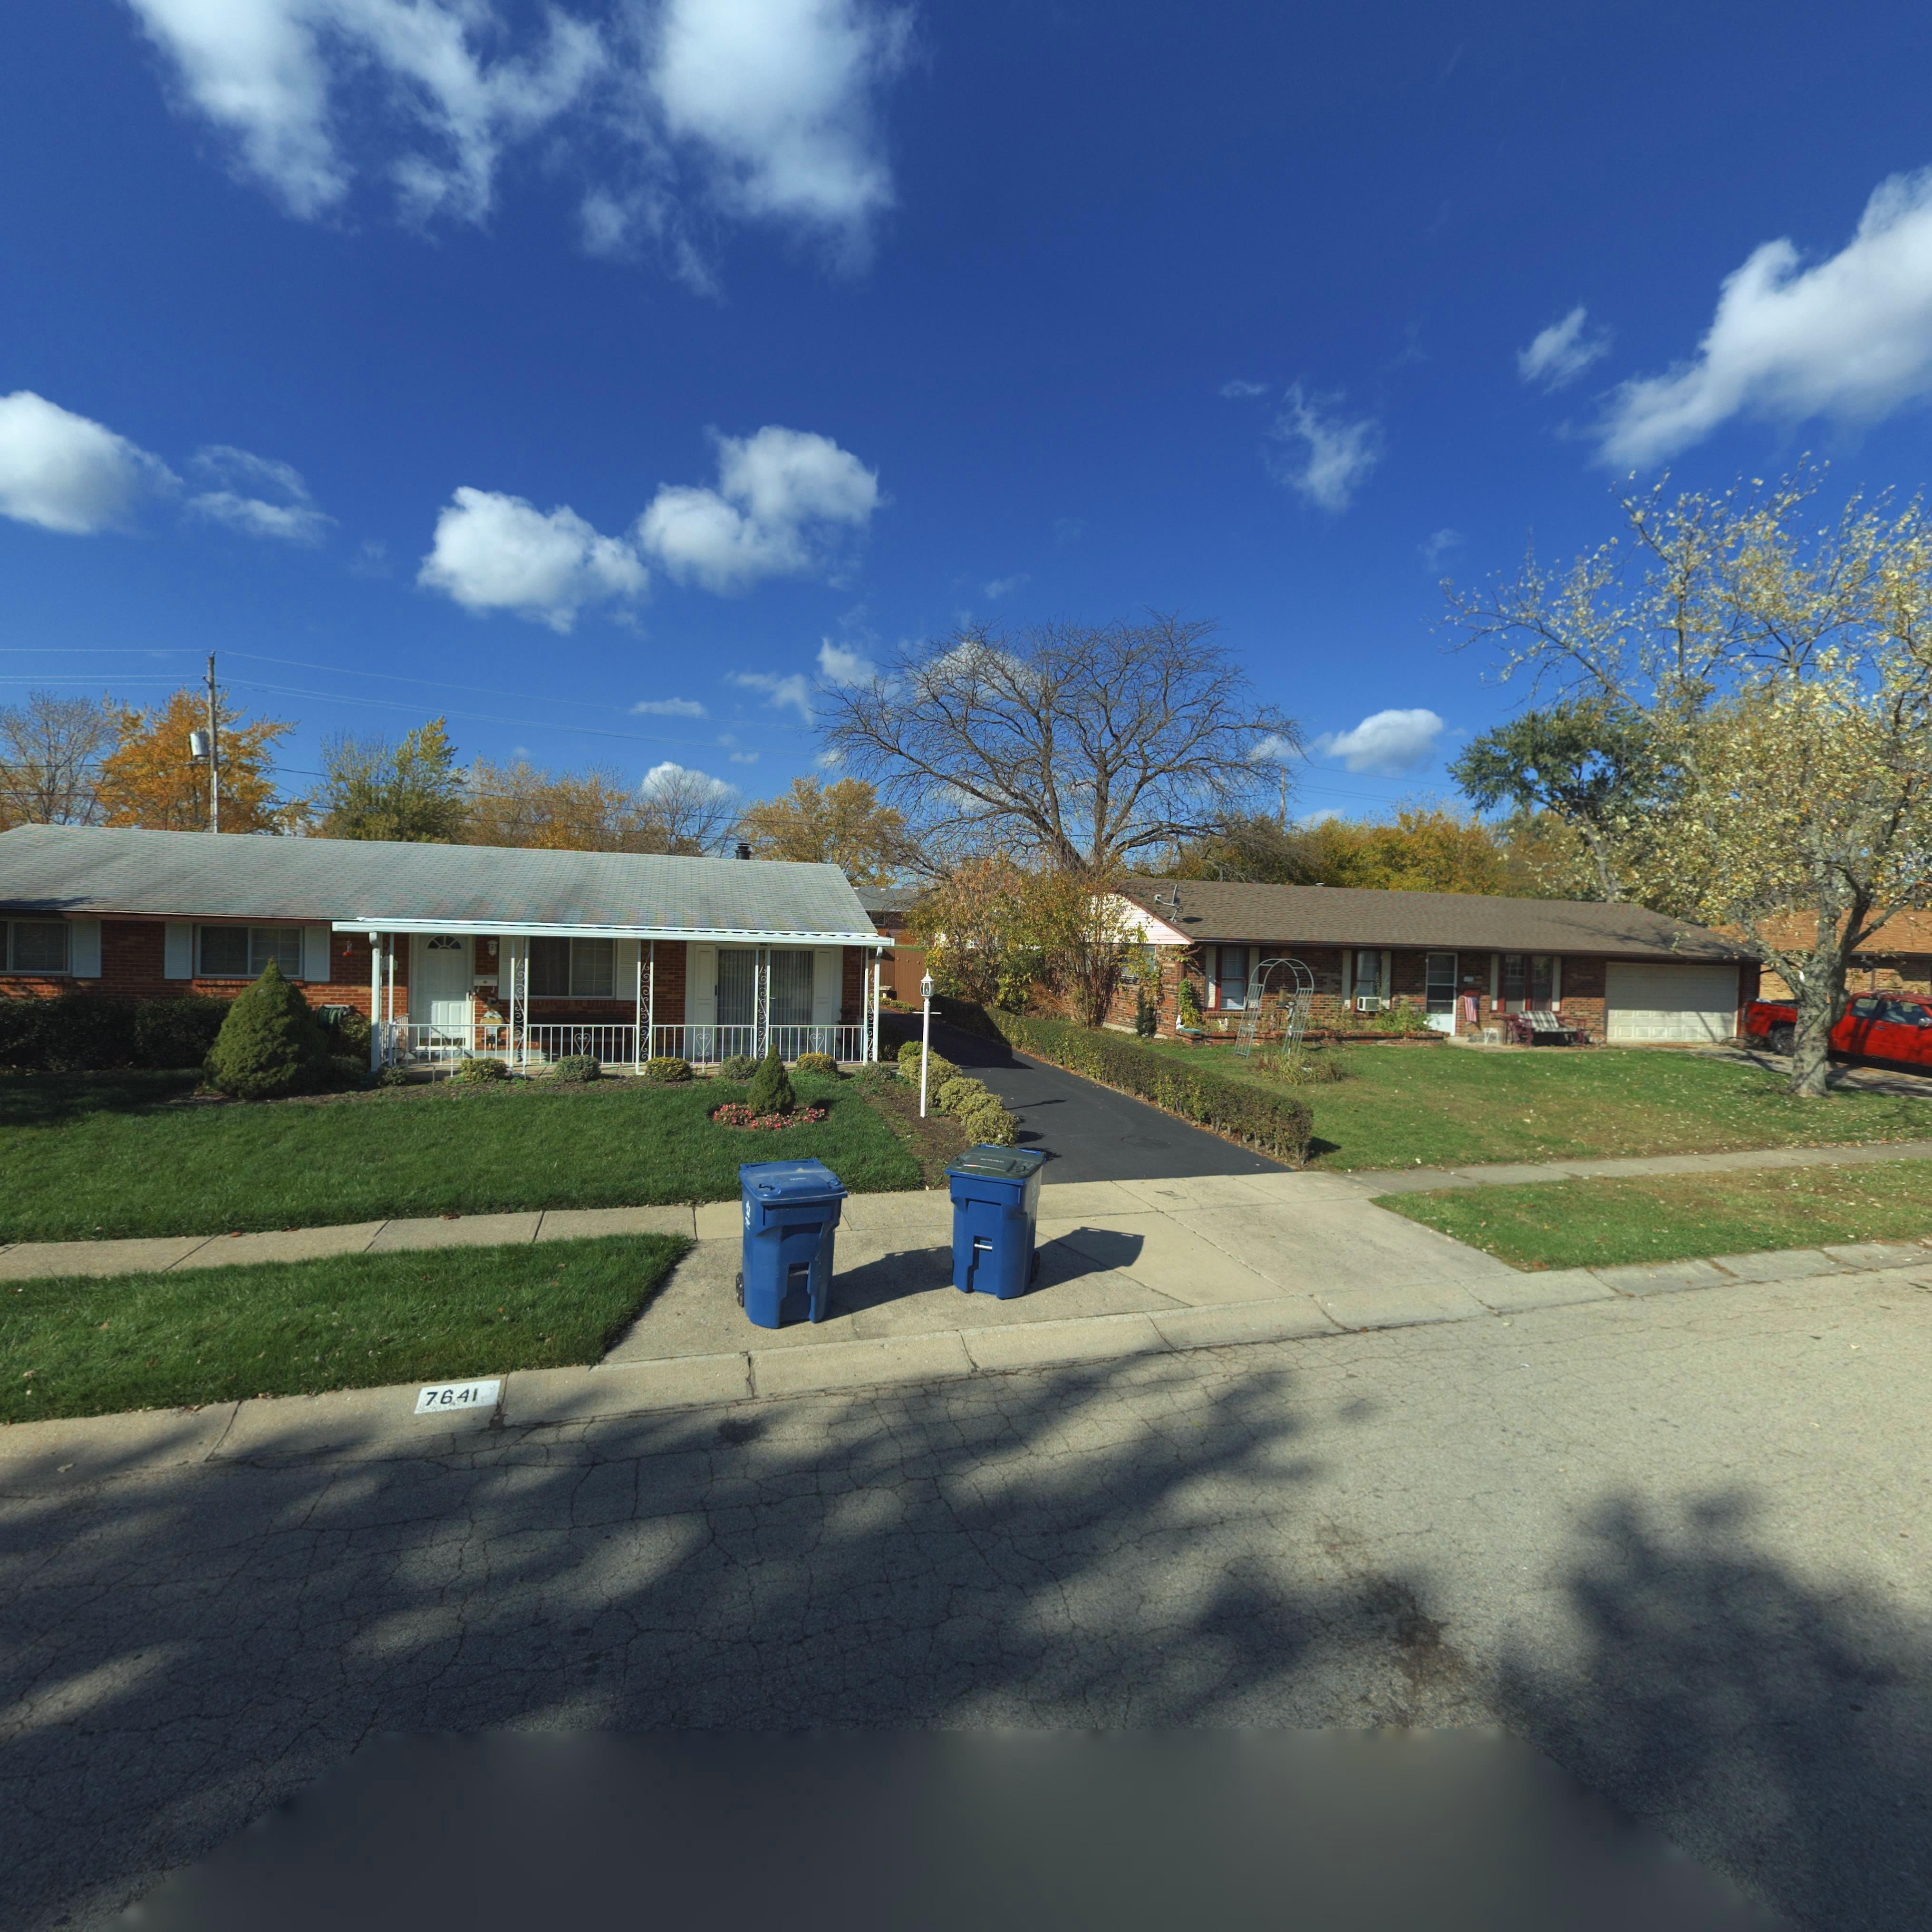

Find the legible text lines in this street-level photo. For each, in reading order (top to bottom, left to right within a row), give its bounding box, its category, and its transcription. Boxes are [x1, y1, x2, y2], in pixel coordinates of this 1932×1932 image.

[423, 1385, 480, 1409] StreetNumber: 7641